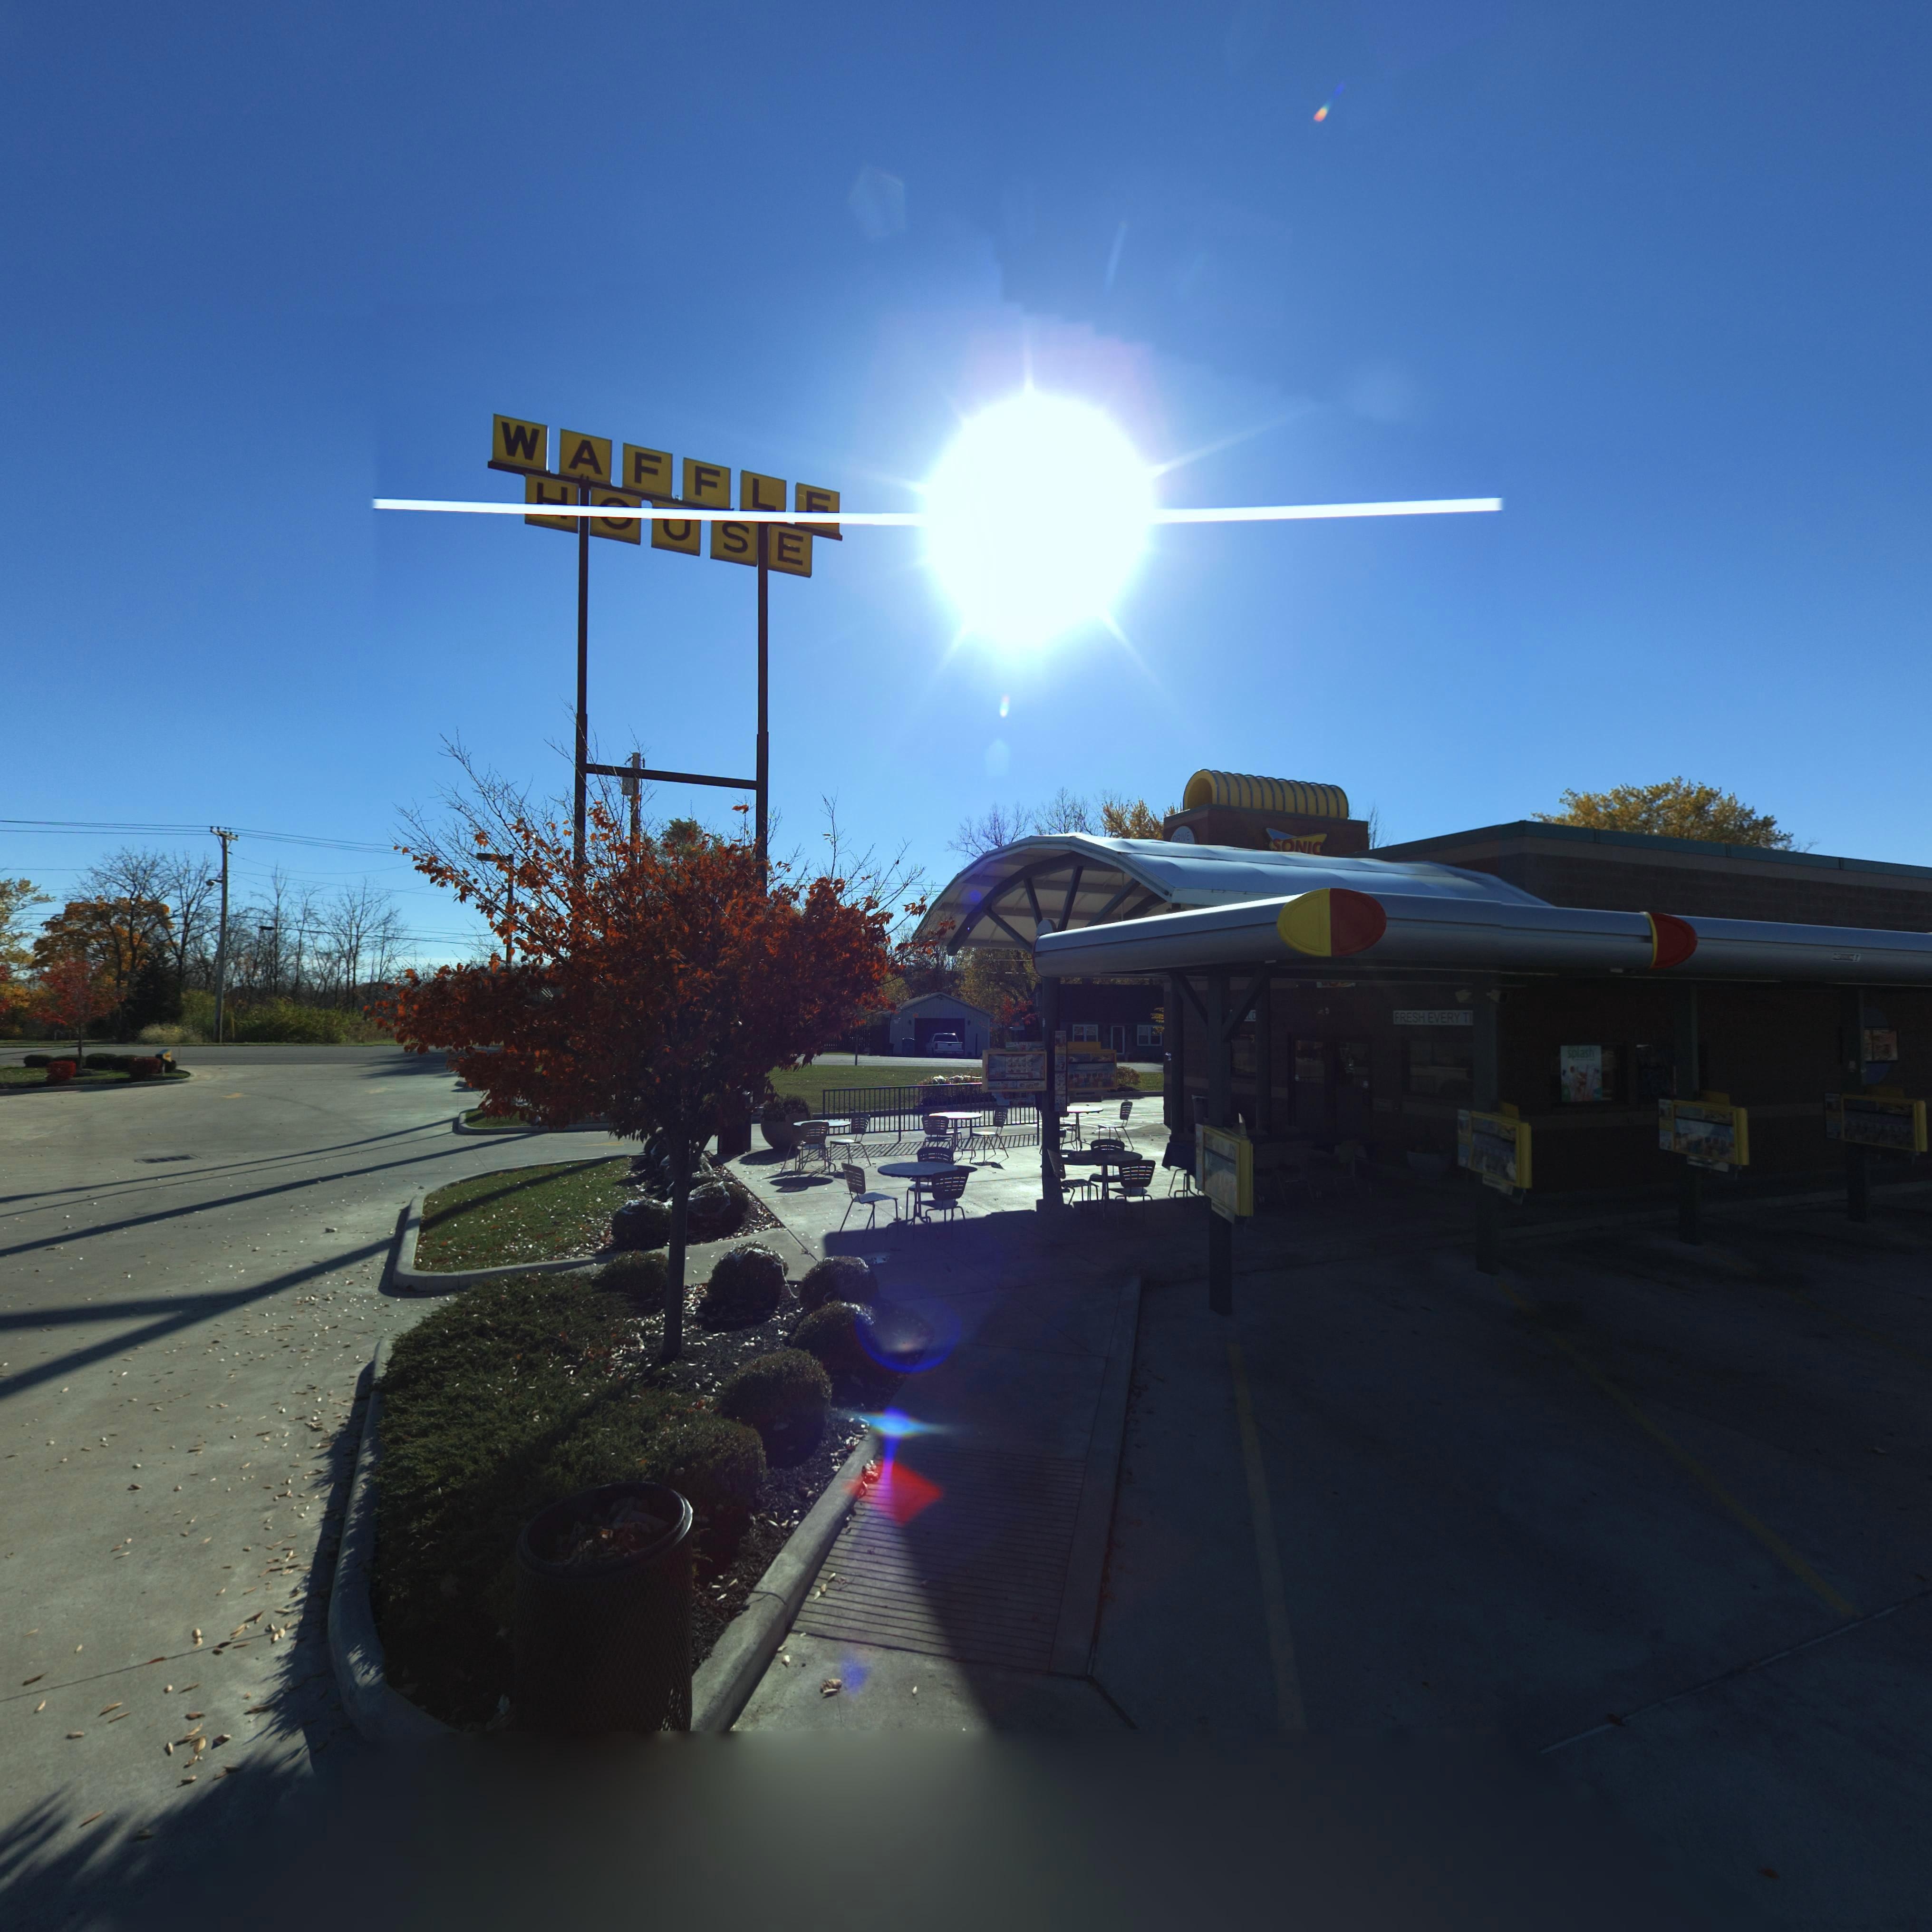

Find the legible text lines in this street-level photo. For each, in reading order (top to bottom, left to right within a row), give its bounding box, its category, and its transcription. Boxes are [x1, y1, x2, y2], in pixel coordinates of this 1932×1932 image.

[1375, 1101, 1388, 1108] StreetNumber: 7**8